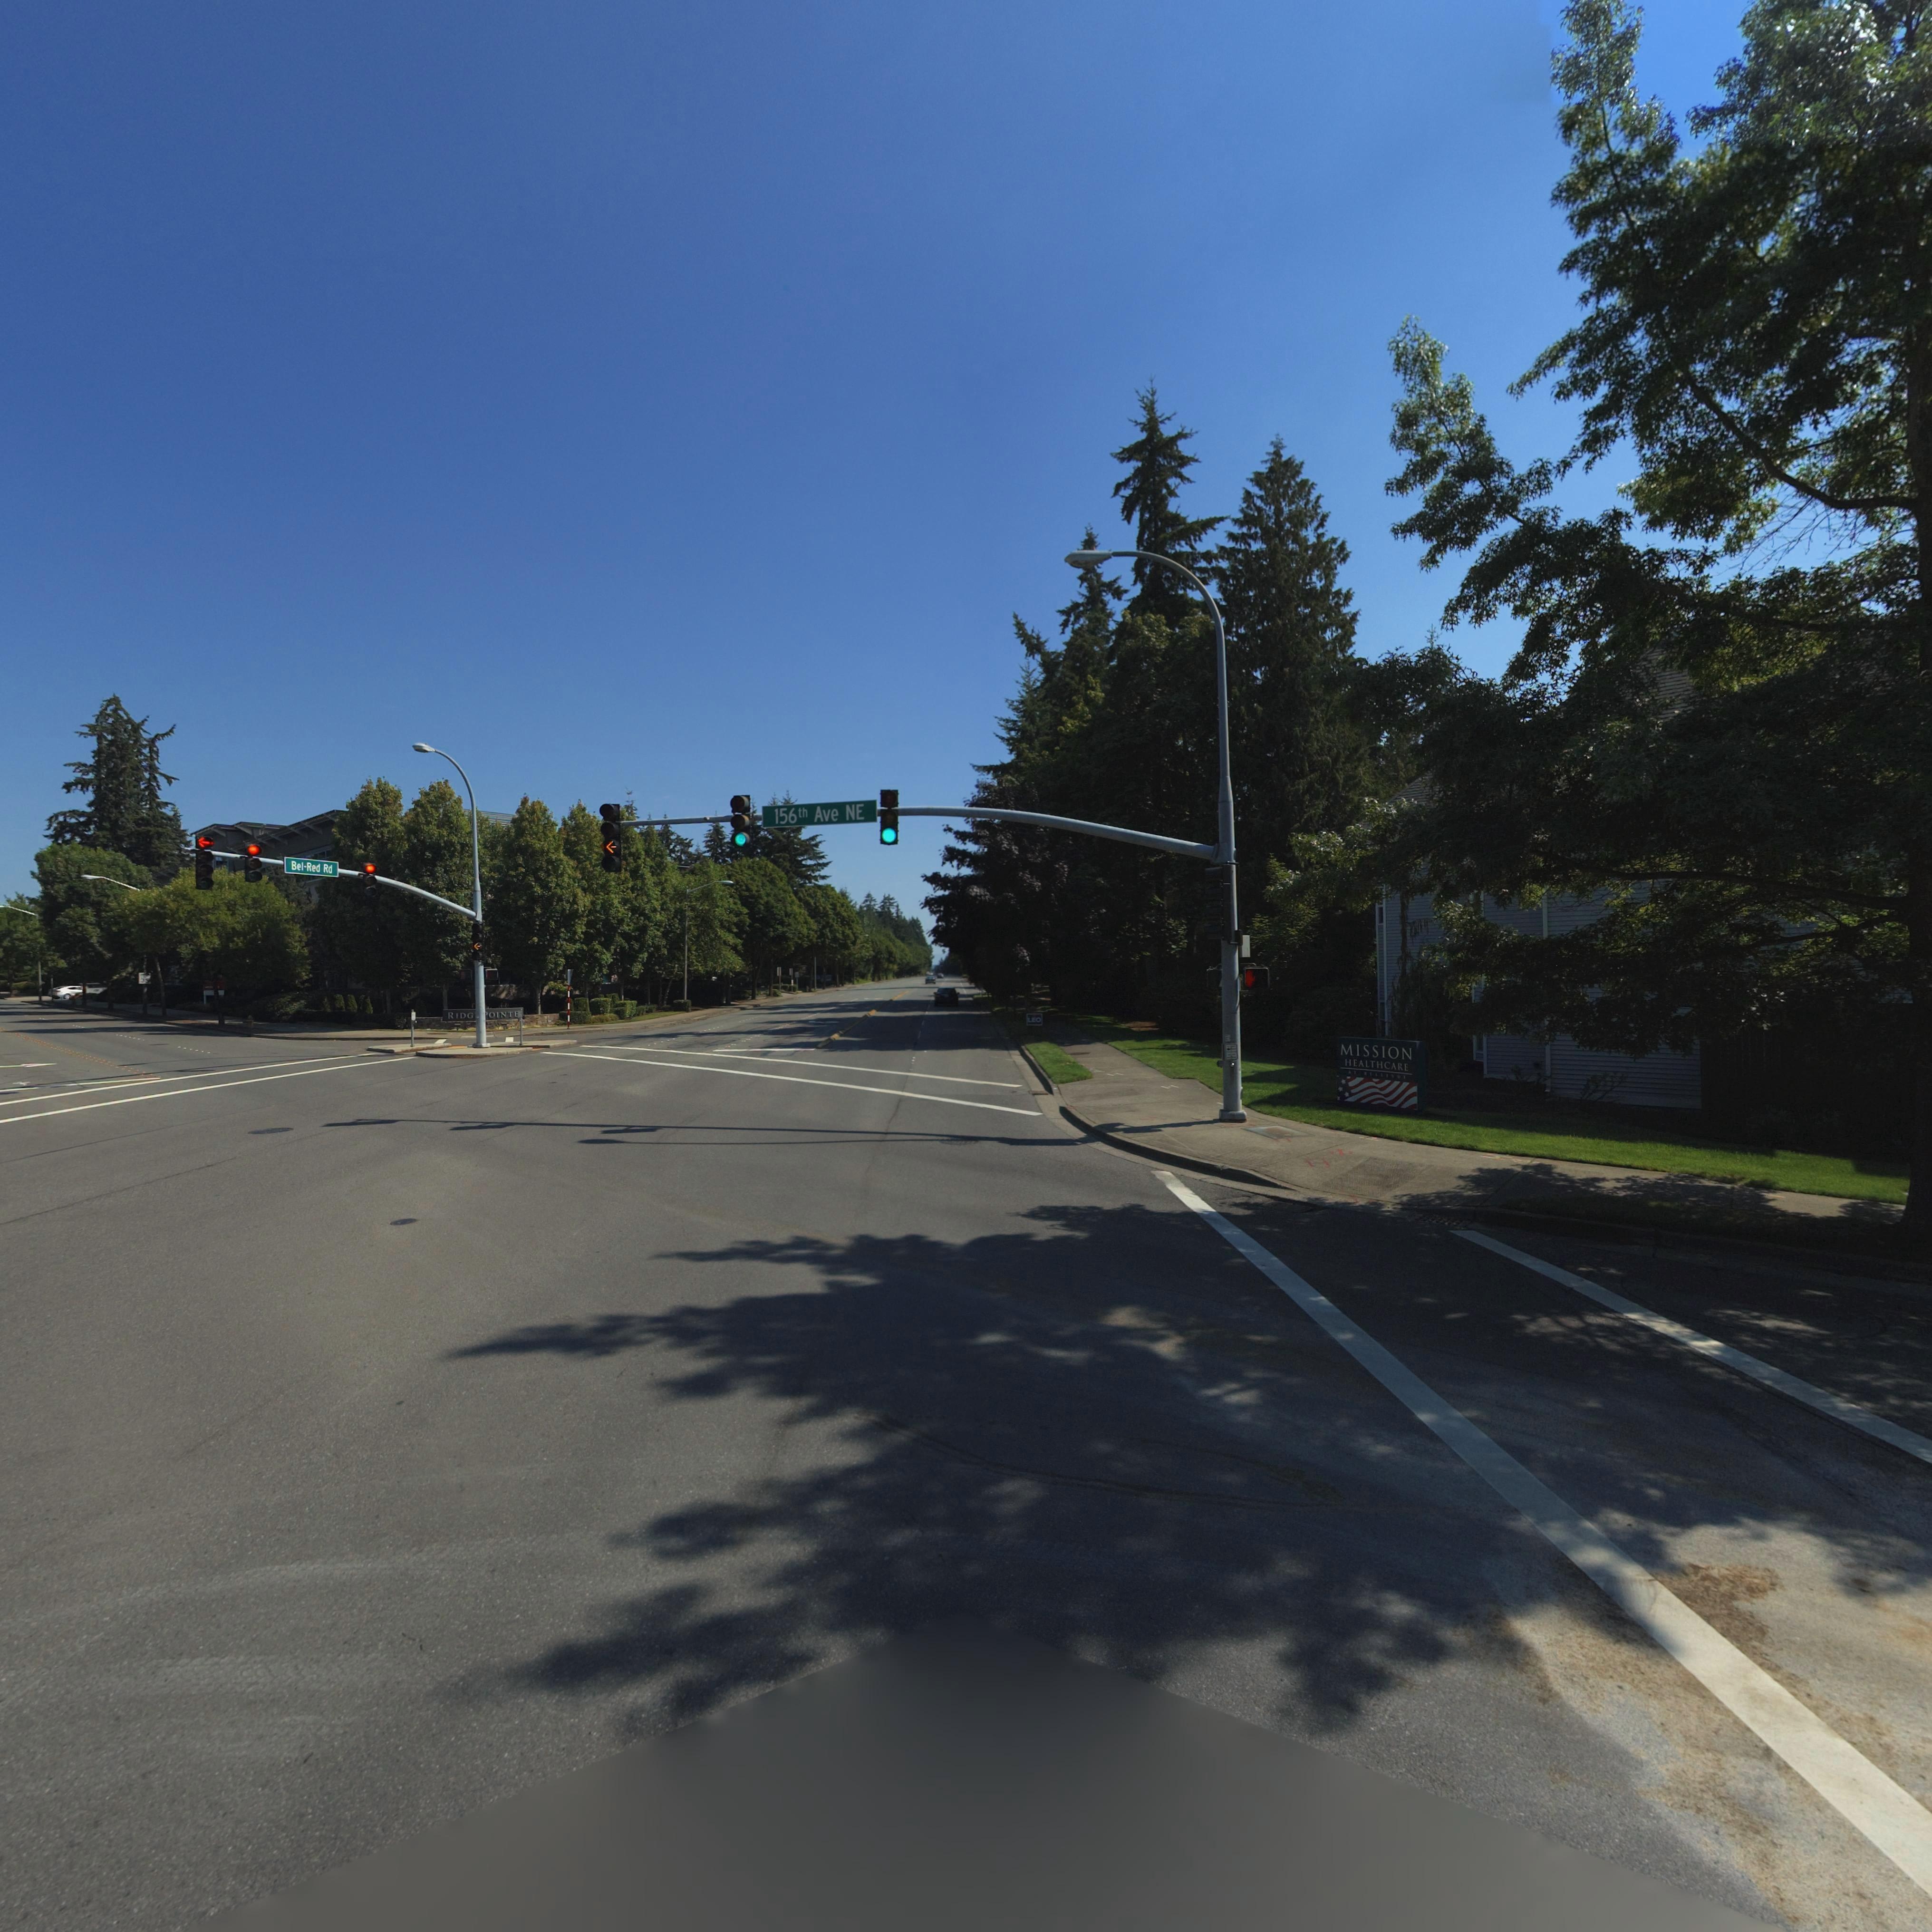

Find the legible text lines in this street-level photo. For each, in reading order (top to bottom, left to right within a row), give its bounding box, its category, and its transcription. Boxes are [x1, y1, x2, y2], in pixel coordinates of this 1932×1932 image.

[772, 802, 867, 827] StreetName: 156th Ave NE
[290, 859, 335, 876] StreetName: Bel-Red Rd
[1338, 1041, 1413, 1061] SecondaryUnitDesignator: MISSION
[1345, 1059, 1408, 1071] BusinessName: HEALTHCARE